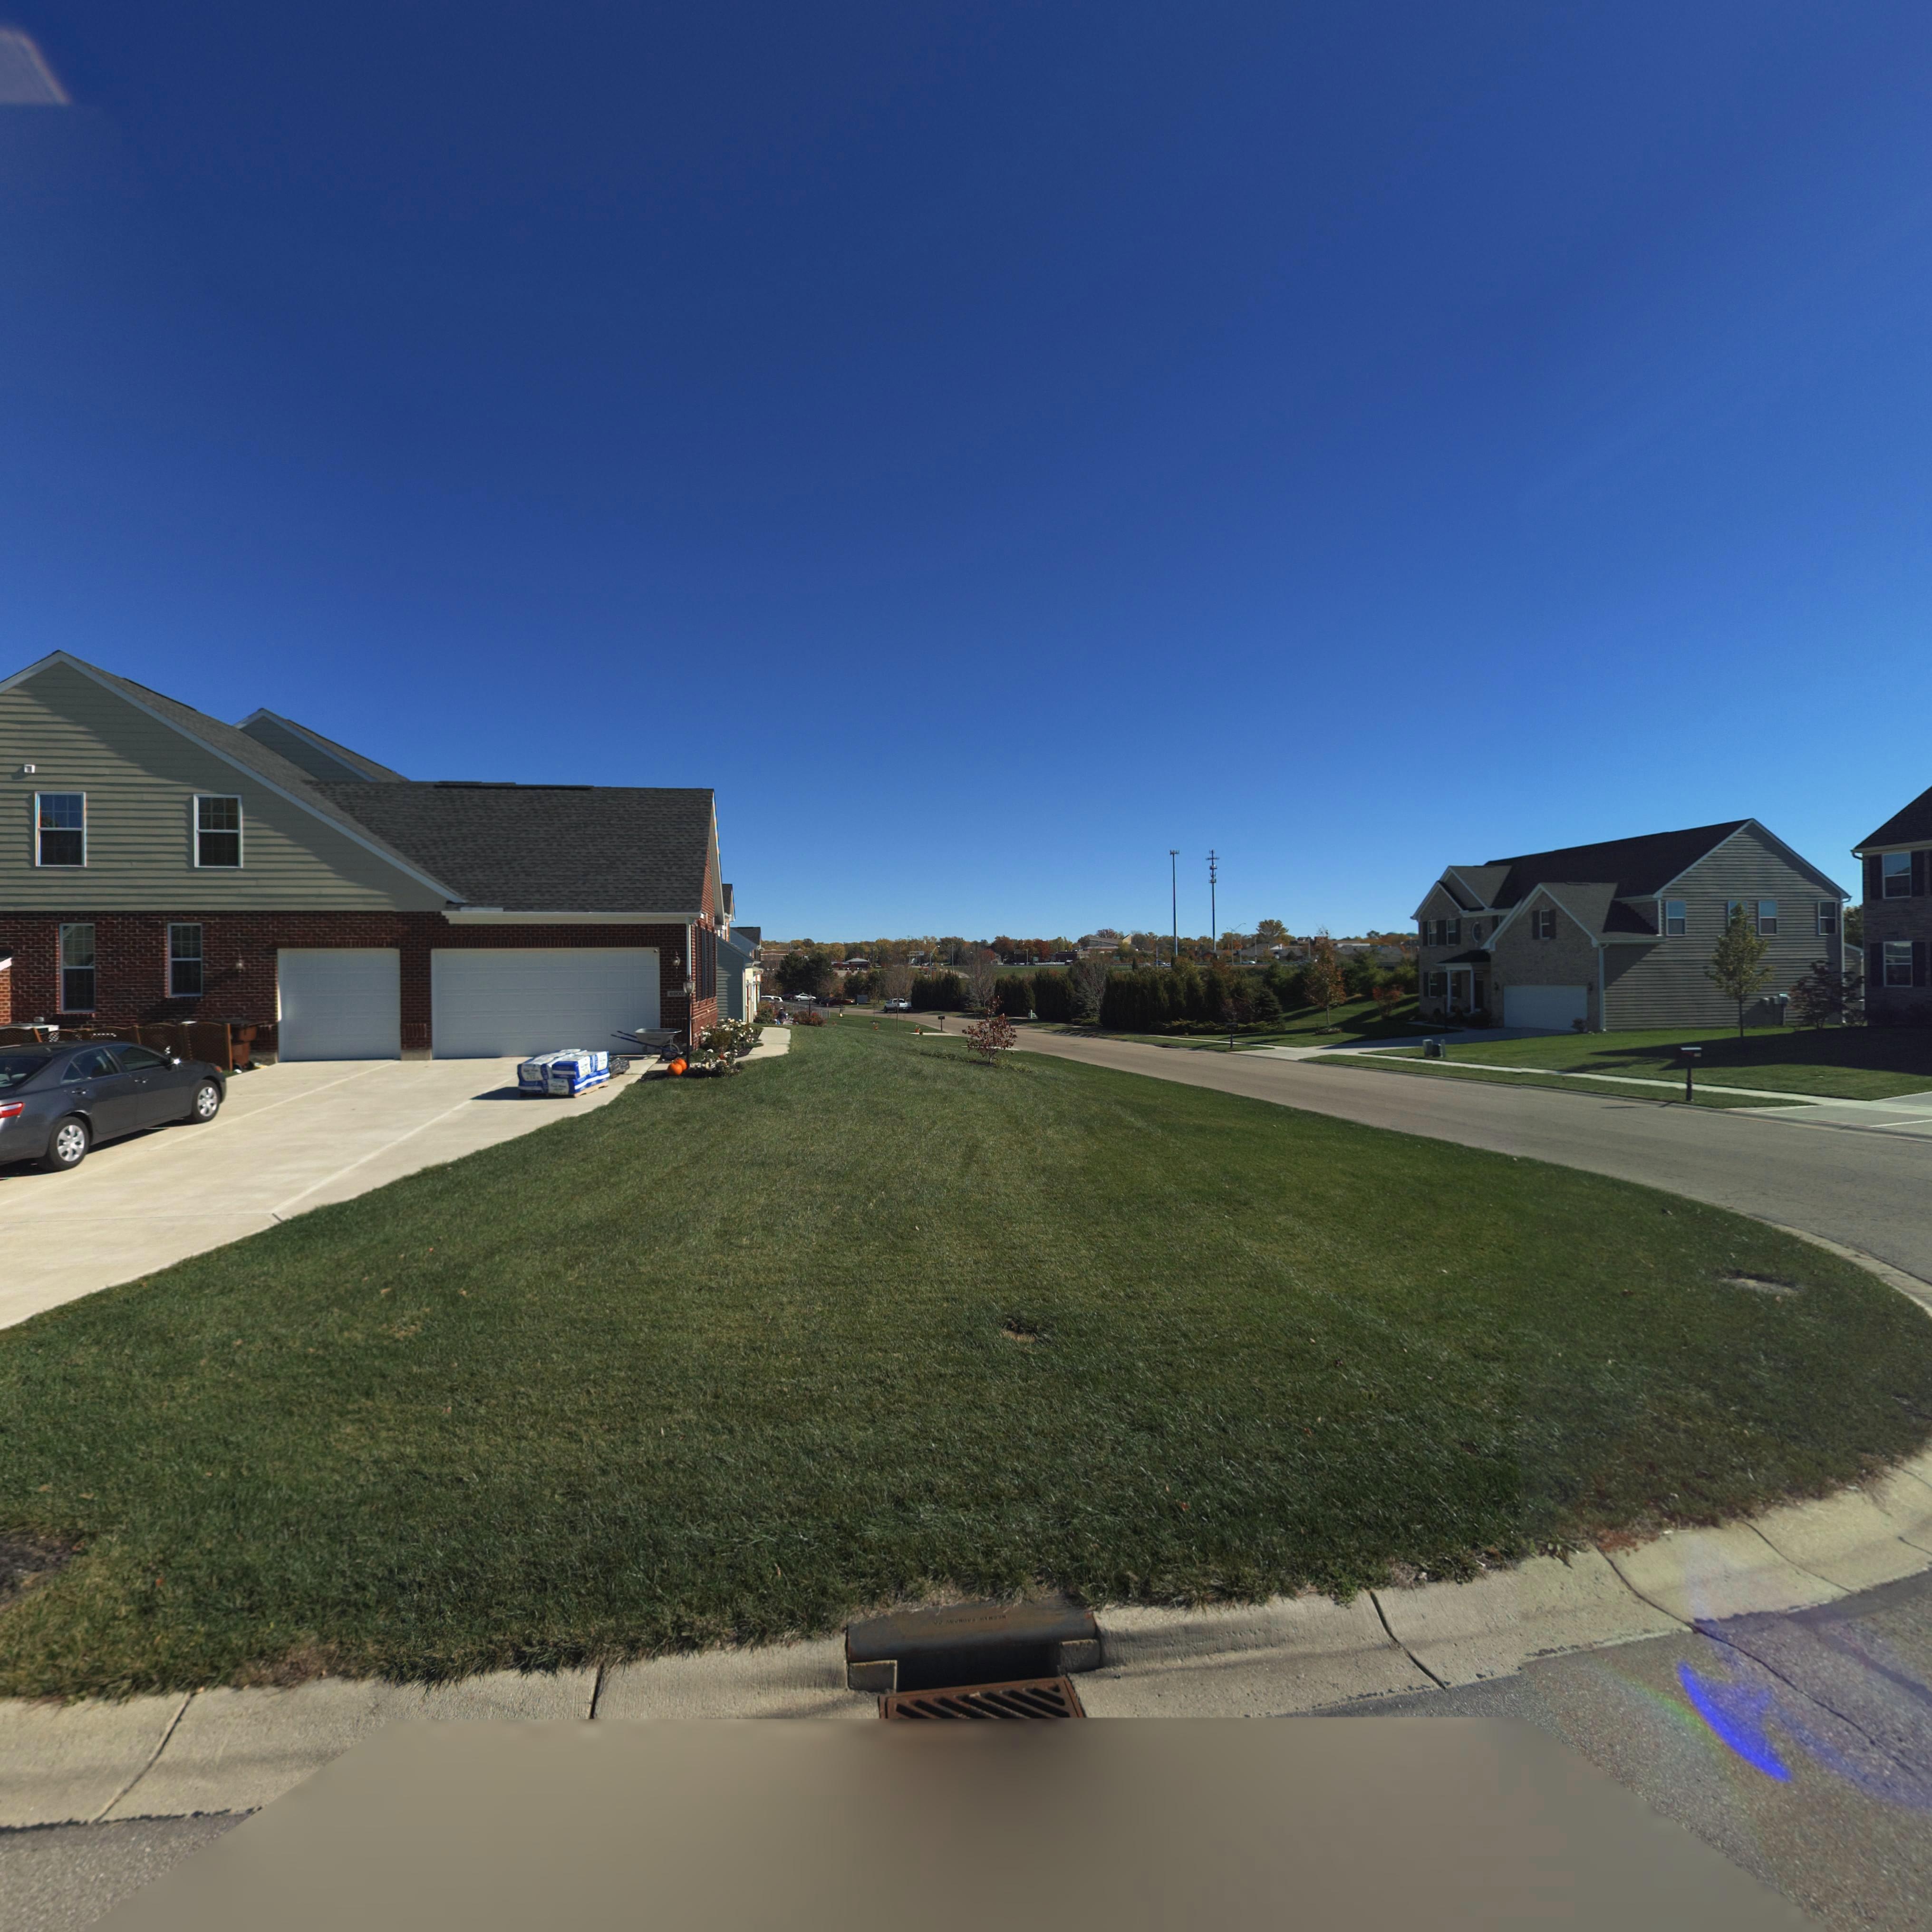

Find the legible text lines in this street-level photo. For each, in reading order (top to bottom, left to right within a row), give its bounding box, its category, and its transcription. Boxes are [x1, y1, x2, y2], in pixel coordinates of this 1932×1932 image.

[669, 991, 685, 997] StreetNumber: 6*00